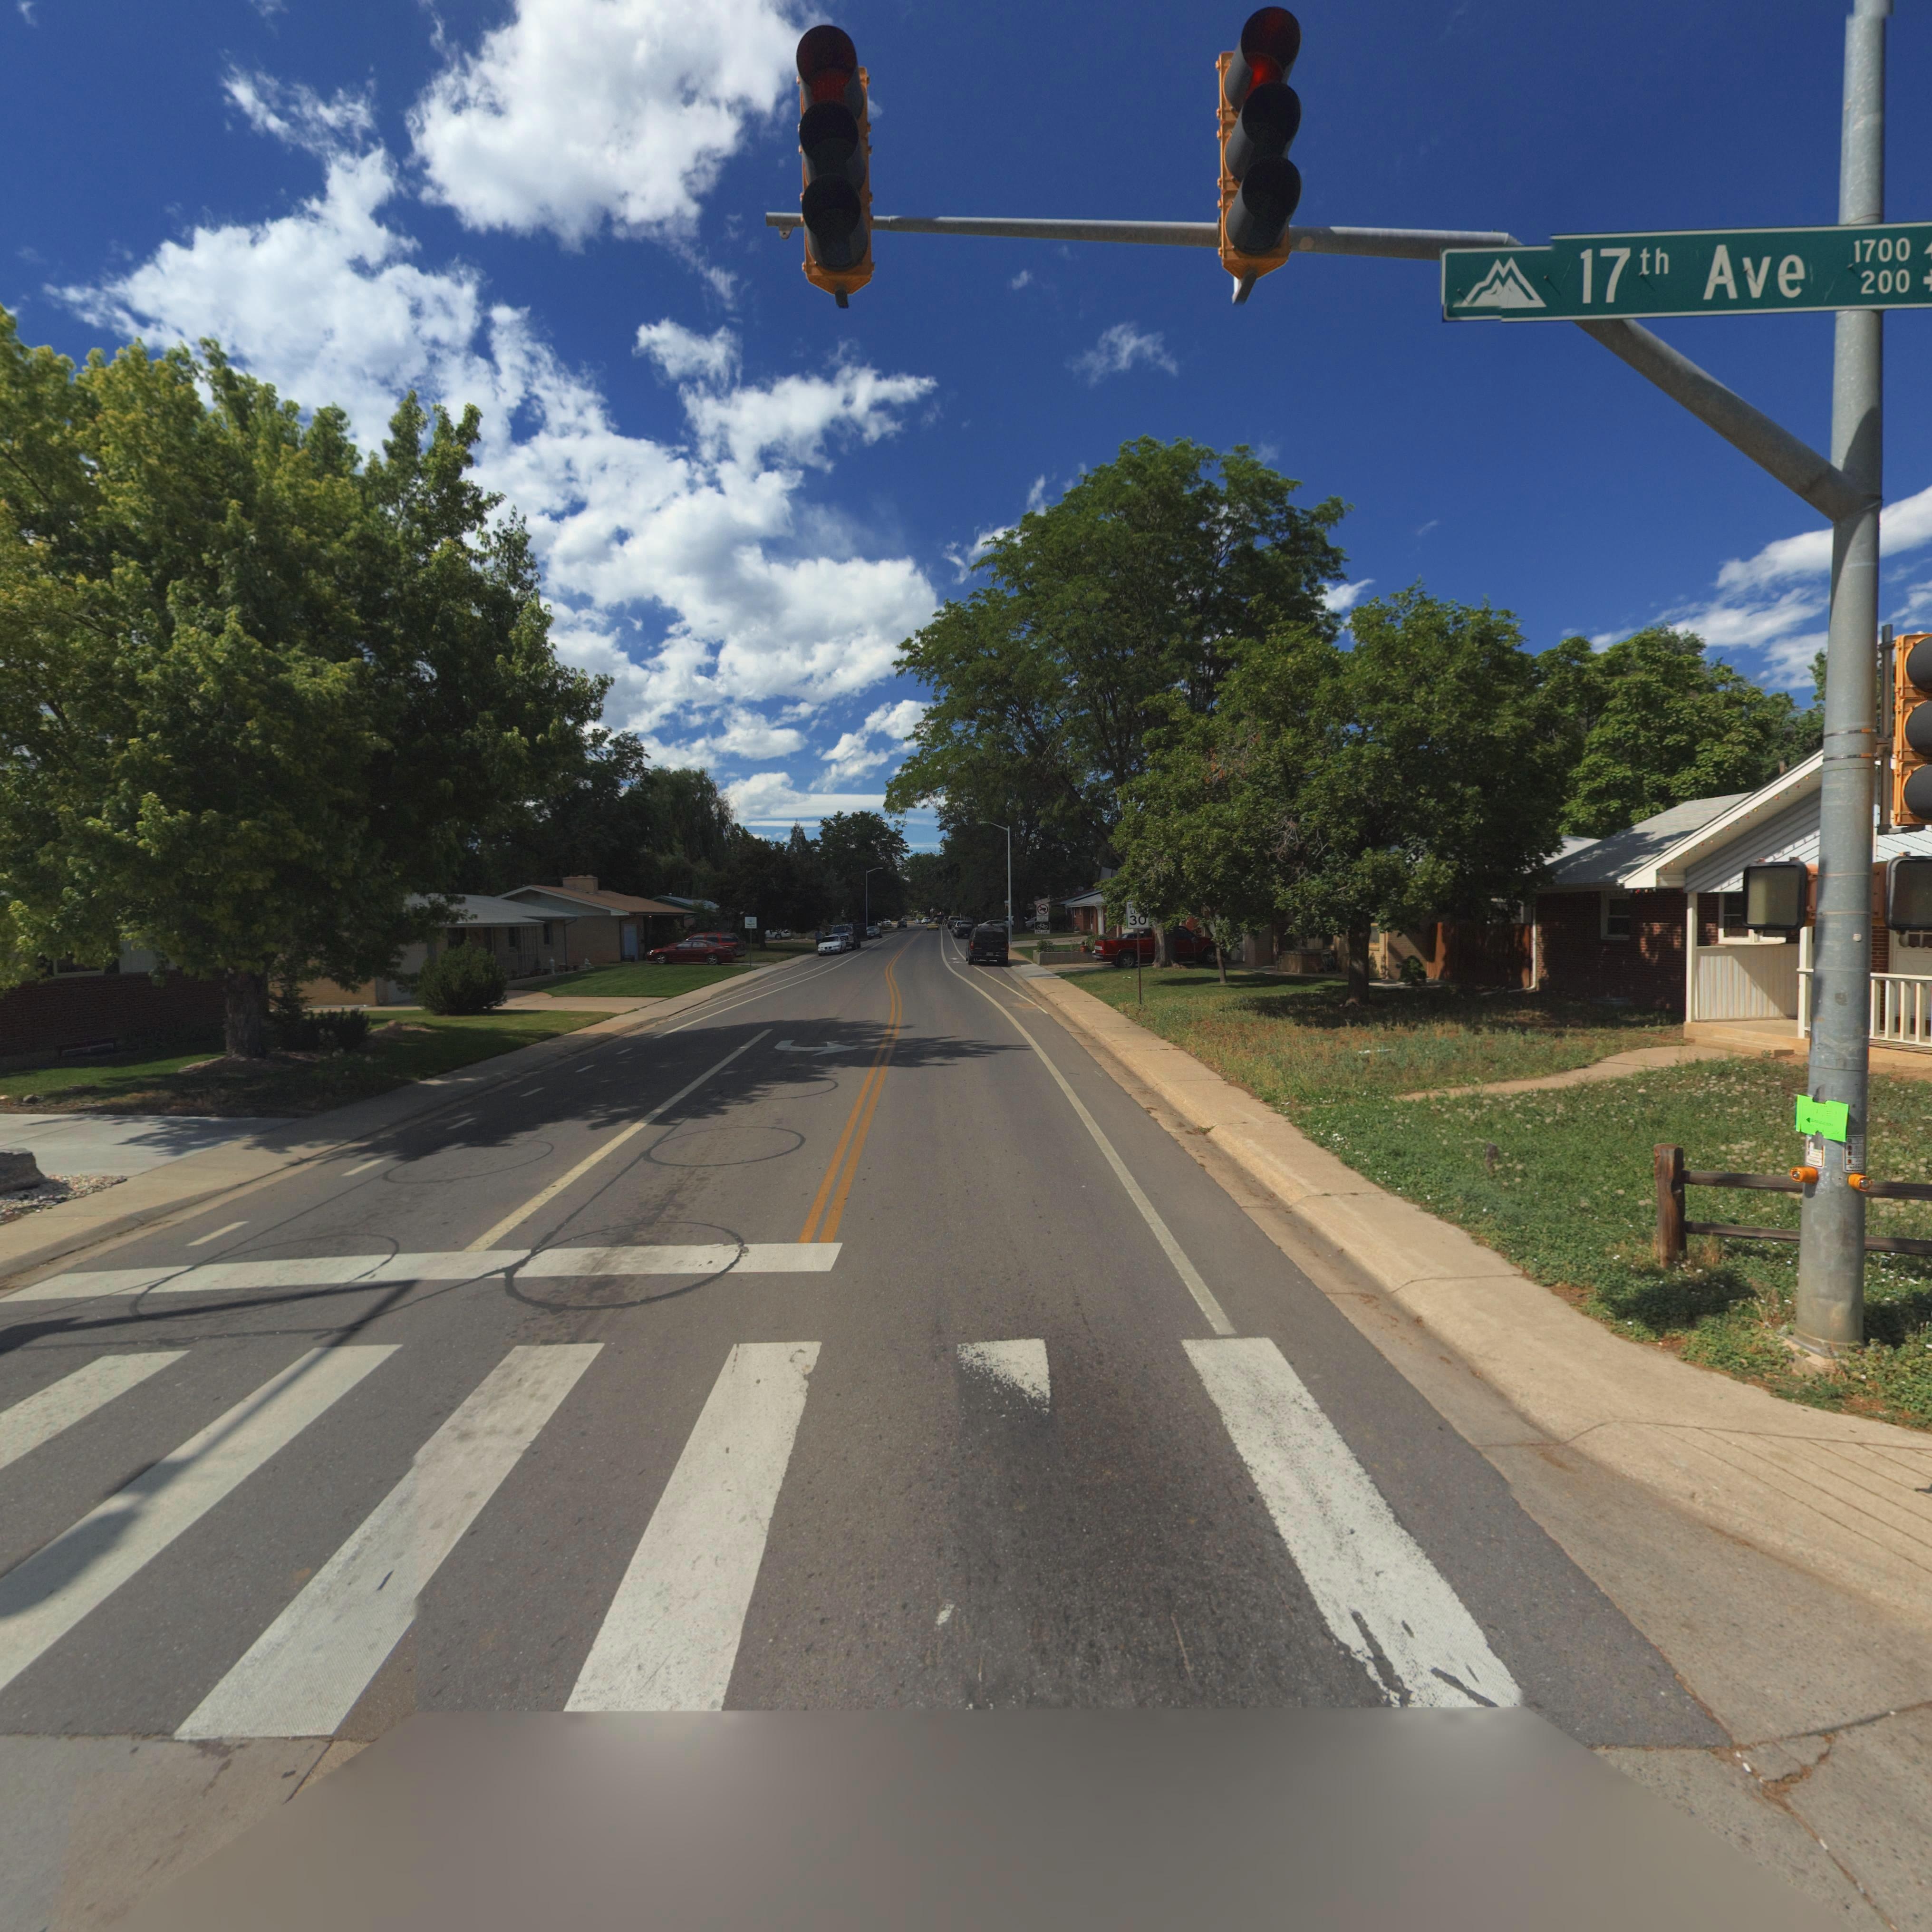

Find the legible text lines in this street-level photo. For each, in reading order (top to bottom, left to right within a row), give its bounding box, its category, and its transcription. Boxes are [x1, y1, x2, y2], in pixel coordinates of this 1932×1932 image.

[1854, 236, 1911, 263] StreetNumberRange: 1700
[1579, 243, 1806, 304] StreetName: 17th Ave
[1860, 268, 1911, 294] StreetNumberRange: 200